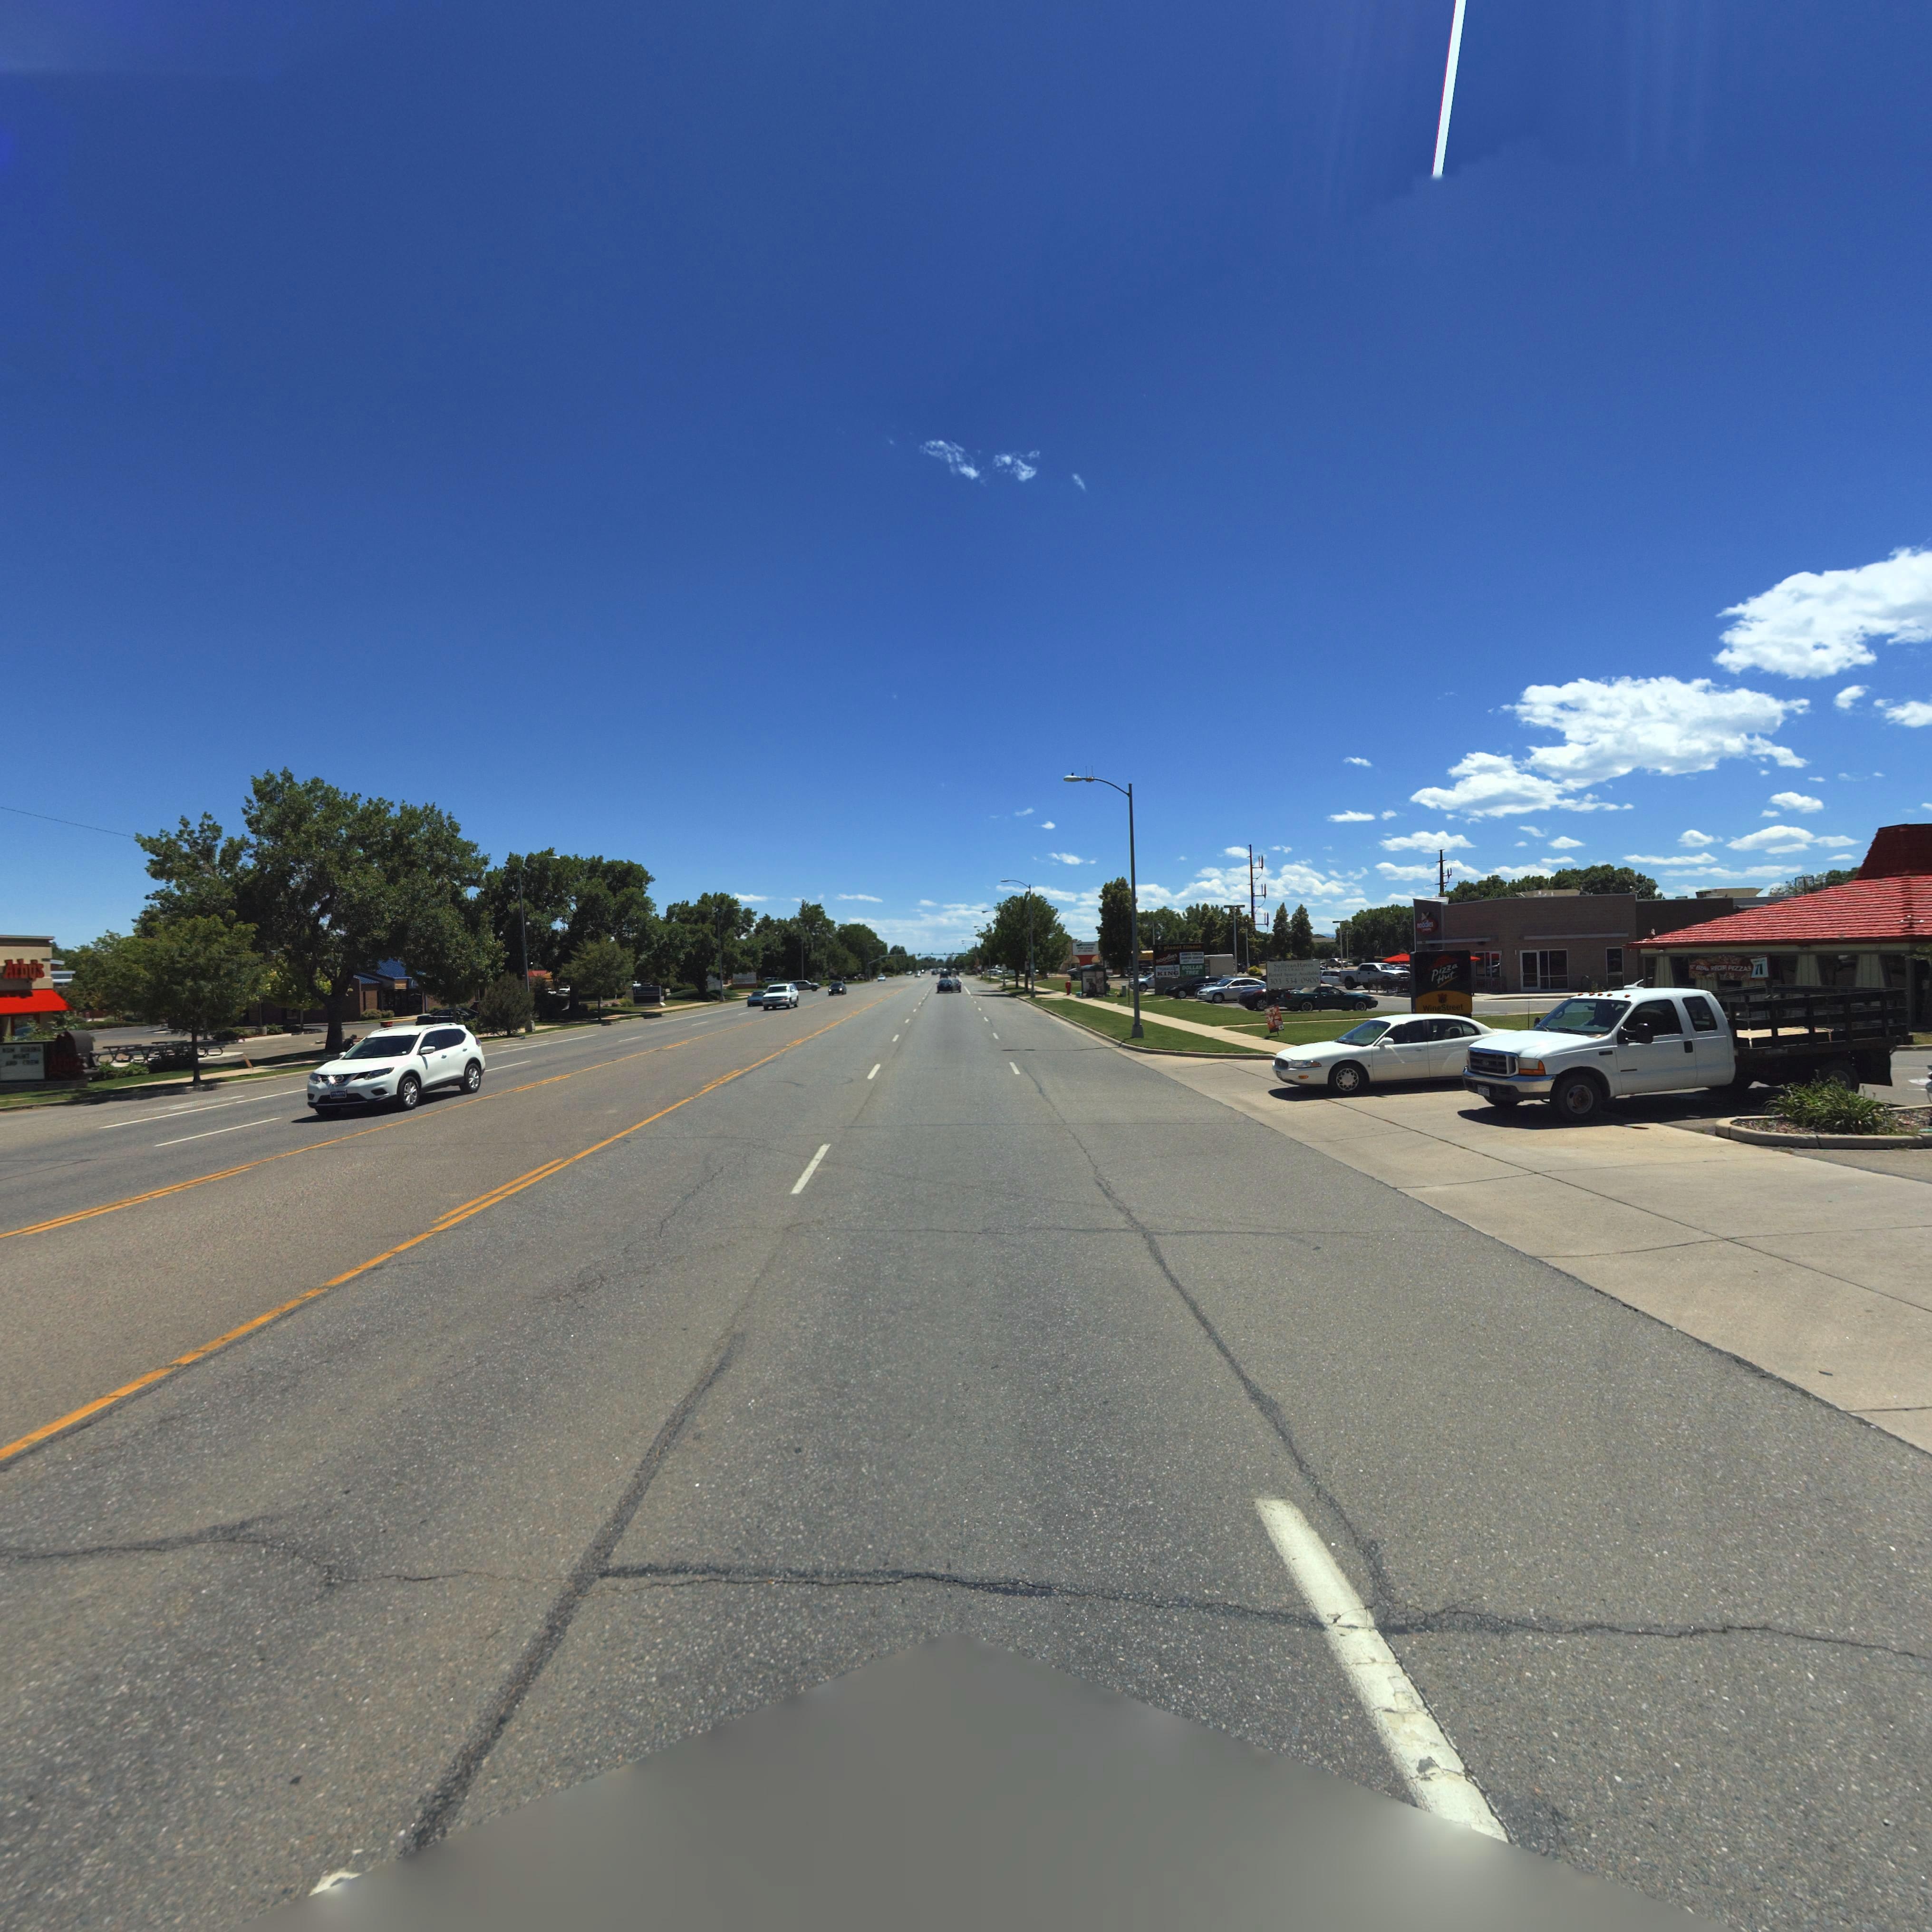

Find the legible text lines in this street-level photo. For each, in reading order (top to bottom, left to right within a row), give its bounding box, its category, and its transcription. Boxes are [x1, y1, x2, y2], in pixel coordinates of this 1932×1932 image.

[1417, 919, 1433, 928] BusinessName: *oodles
[1422, 927, 1431, 931] BusinessName: *o*****
[1163, 944, 1201, 951] BusinessName: Plane* ***ne**
[1156, 953, 1178, 963] BusinessName: *ood**s
[1180, 956, 1203, 959] BusinessName: C****R C*****
[2, 958, 45, 983] BusinessName: Arby's
[1159, 967, 1176, 970] BusinessName: TO*****
[1157, 970, 1179, 976] BusinessName: KIN*
[1182, 965, 1203, 970] BusinessName: DOLLAR
[1185, 970, 1199, 975] BusinessName: TREE
[1431, 963, 1458, 982] BusinessName: Pizza
[1437, 970, 1455, 985] BusinessName: Hut
[1422, 1003, 1464, 1012] BusinessName: Wing Street